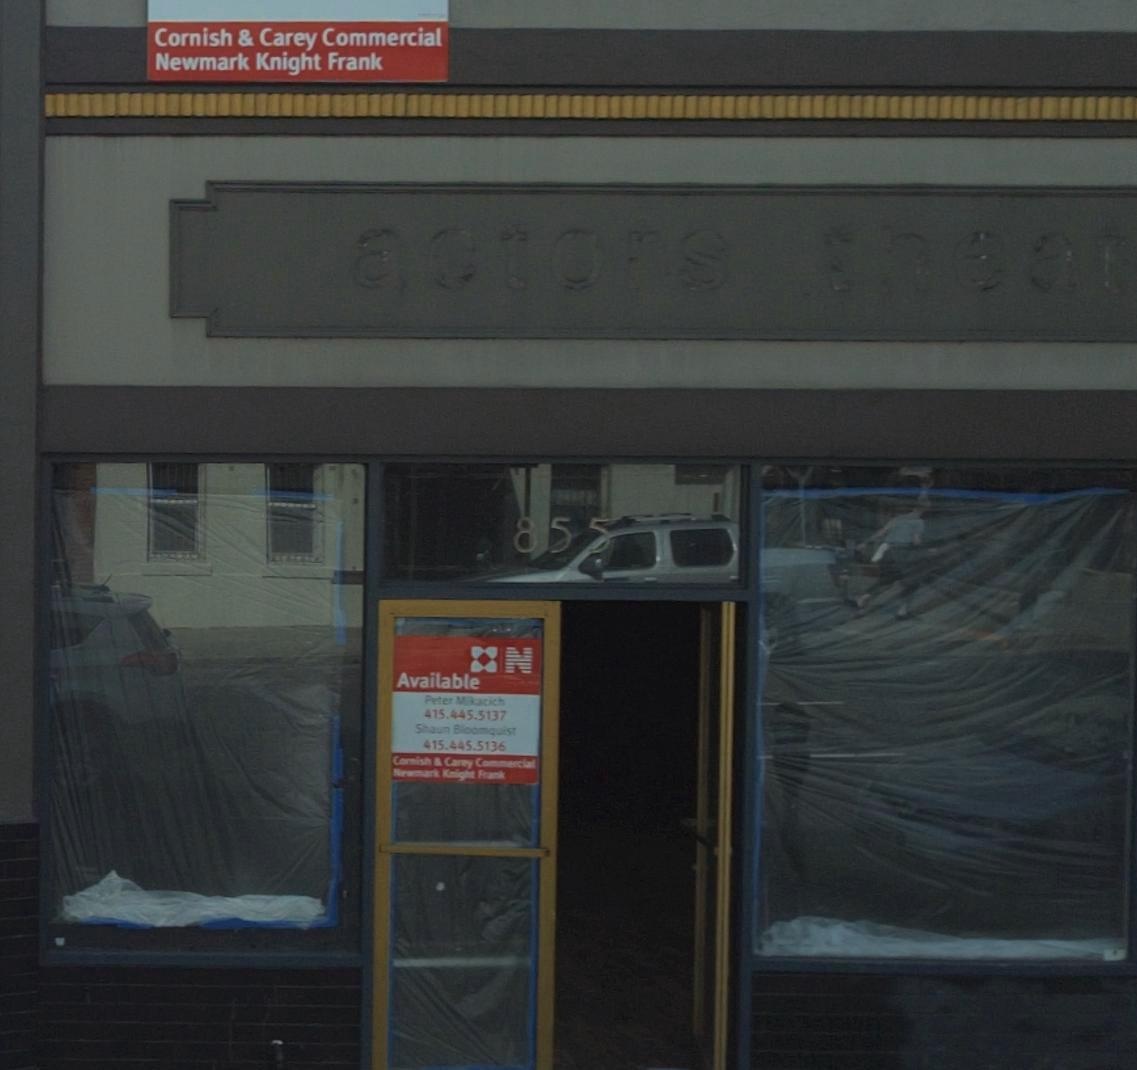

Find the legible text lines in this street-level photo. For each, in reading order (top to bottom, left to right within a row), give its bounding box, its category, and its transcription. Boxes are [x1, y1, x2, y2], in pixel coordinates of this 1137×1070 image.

[148, 21, 447, 57] None: Cornish & Carey Commercial
[150, 49, 391, 79] None: Newmark Knight Frank
[347, 216, 1128, 301] BusinessName: actors *heat
[506, 511, 615, 560] StreetNumber: 855
[500, 640, 536, 682] None: N
[391, 667, 483, 695] None: Available
[420, 691, 511, 710] None: Peter MiKacich
[421, 705, 511, 725] None: 415.445.5137
[411, 720, 520, 740] None: Shaun Bloomquist
[420, 738, 509, 755] None: 415.445.5136
[391, 767, 509, 782] None: Newmark Knight Frank
[388, 753, 539, 773] None: Cornish & Carey Commercial